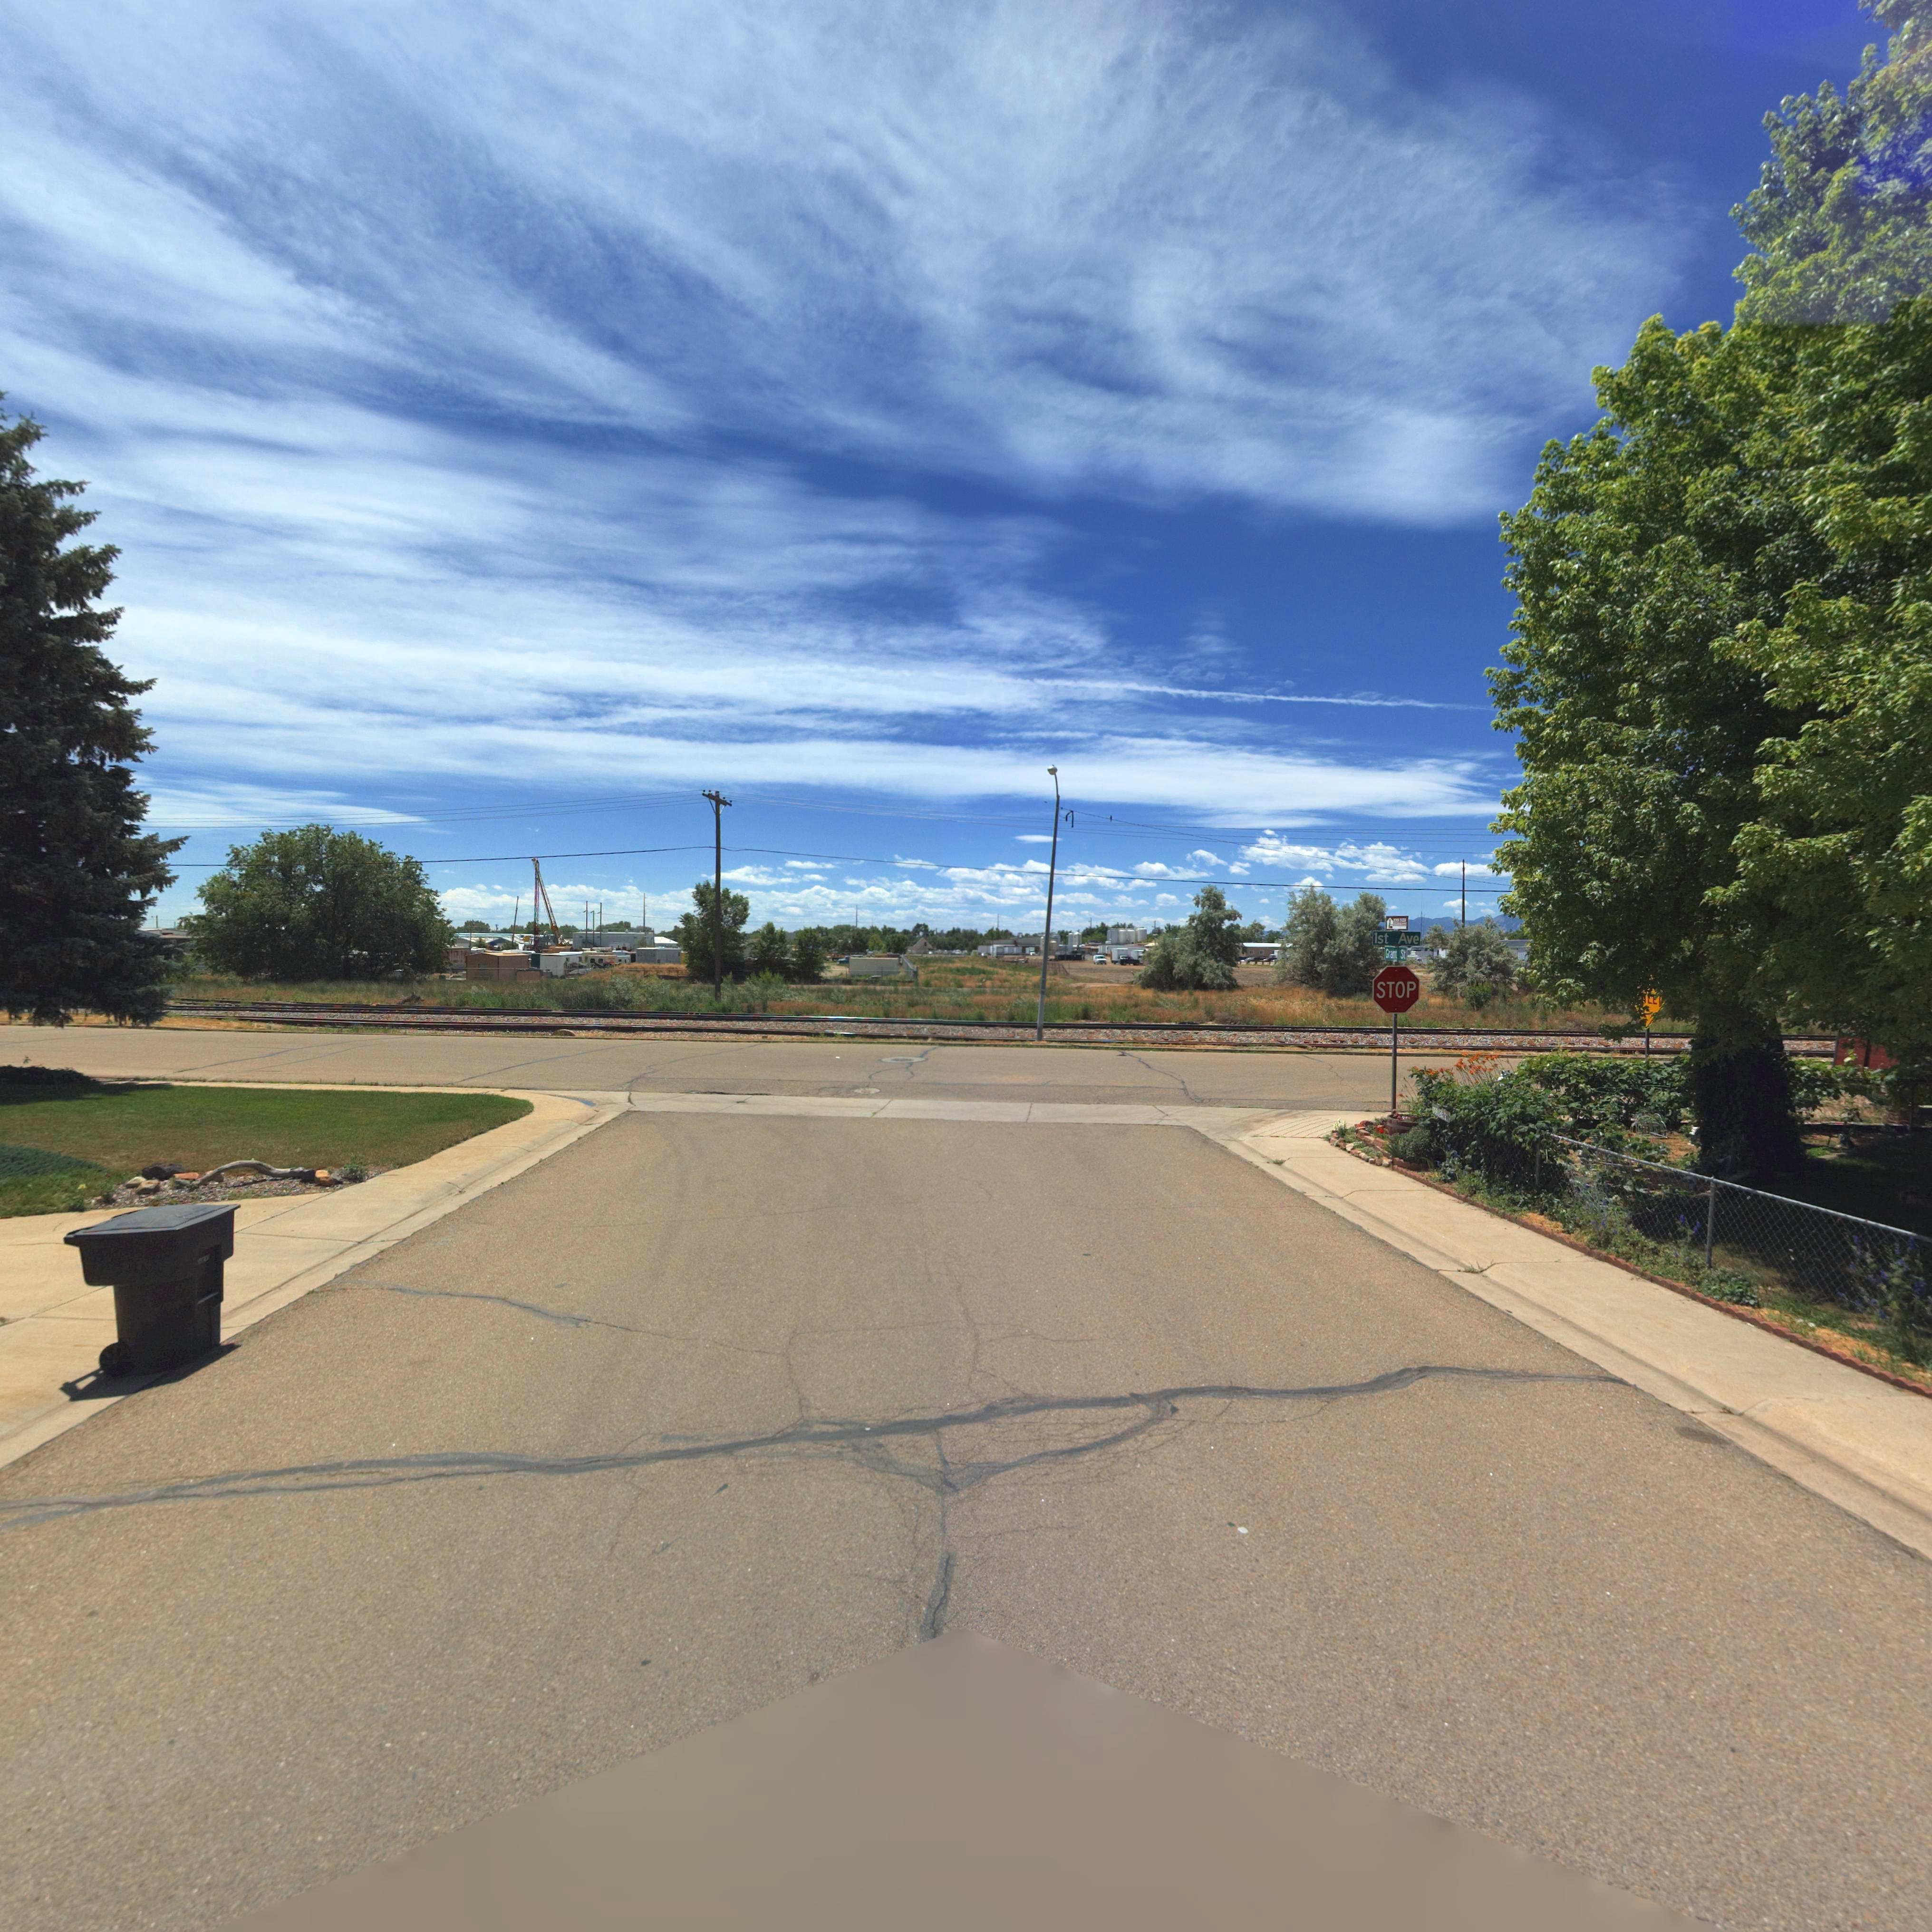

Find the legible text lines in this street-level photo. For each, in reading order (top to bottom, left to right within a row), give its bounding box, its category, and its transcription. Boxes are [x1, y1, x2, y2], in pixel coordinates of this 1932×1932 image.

[1373, 932, 1419, 945] StreetName: 1st Ave
[1385, 947, 1406, 960] StreetName: Grant St
[1438, 1110, 1449, 1121] StreetName: G****